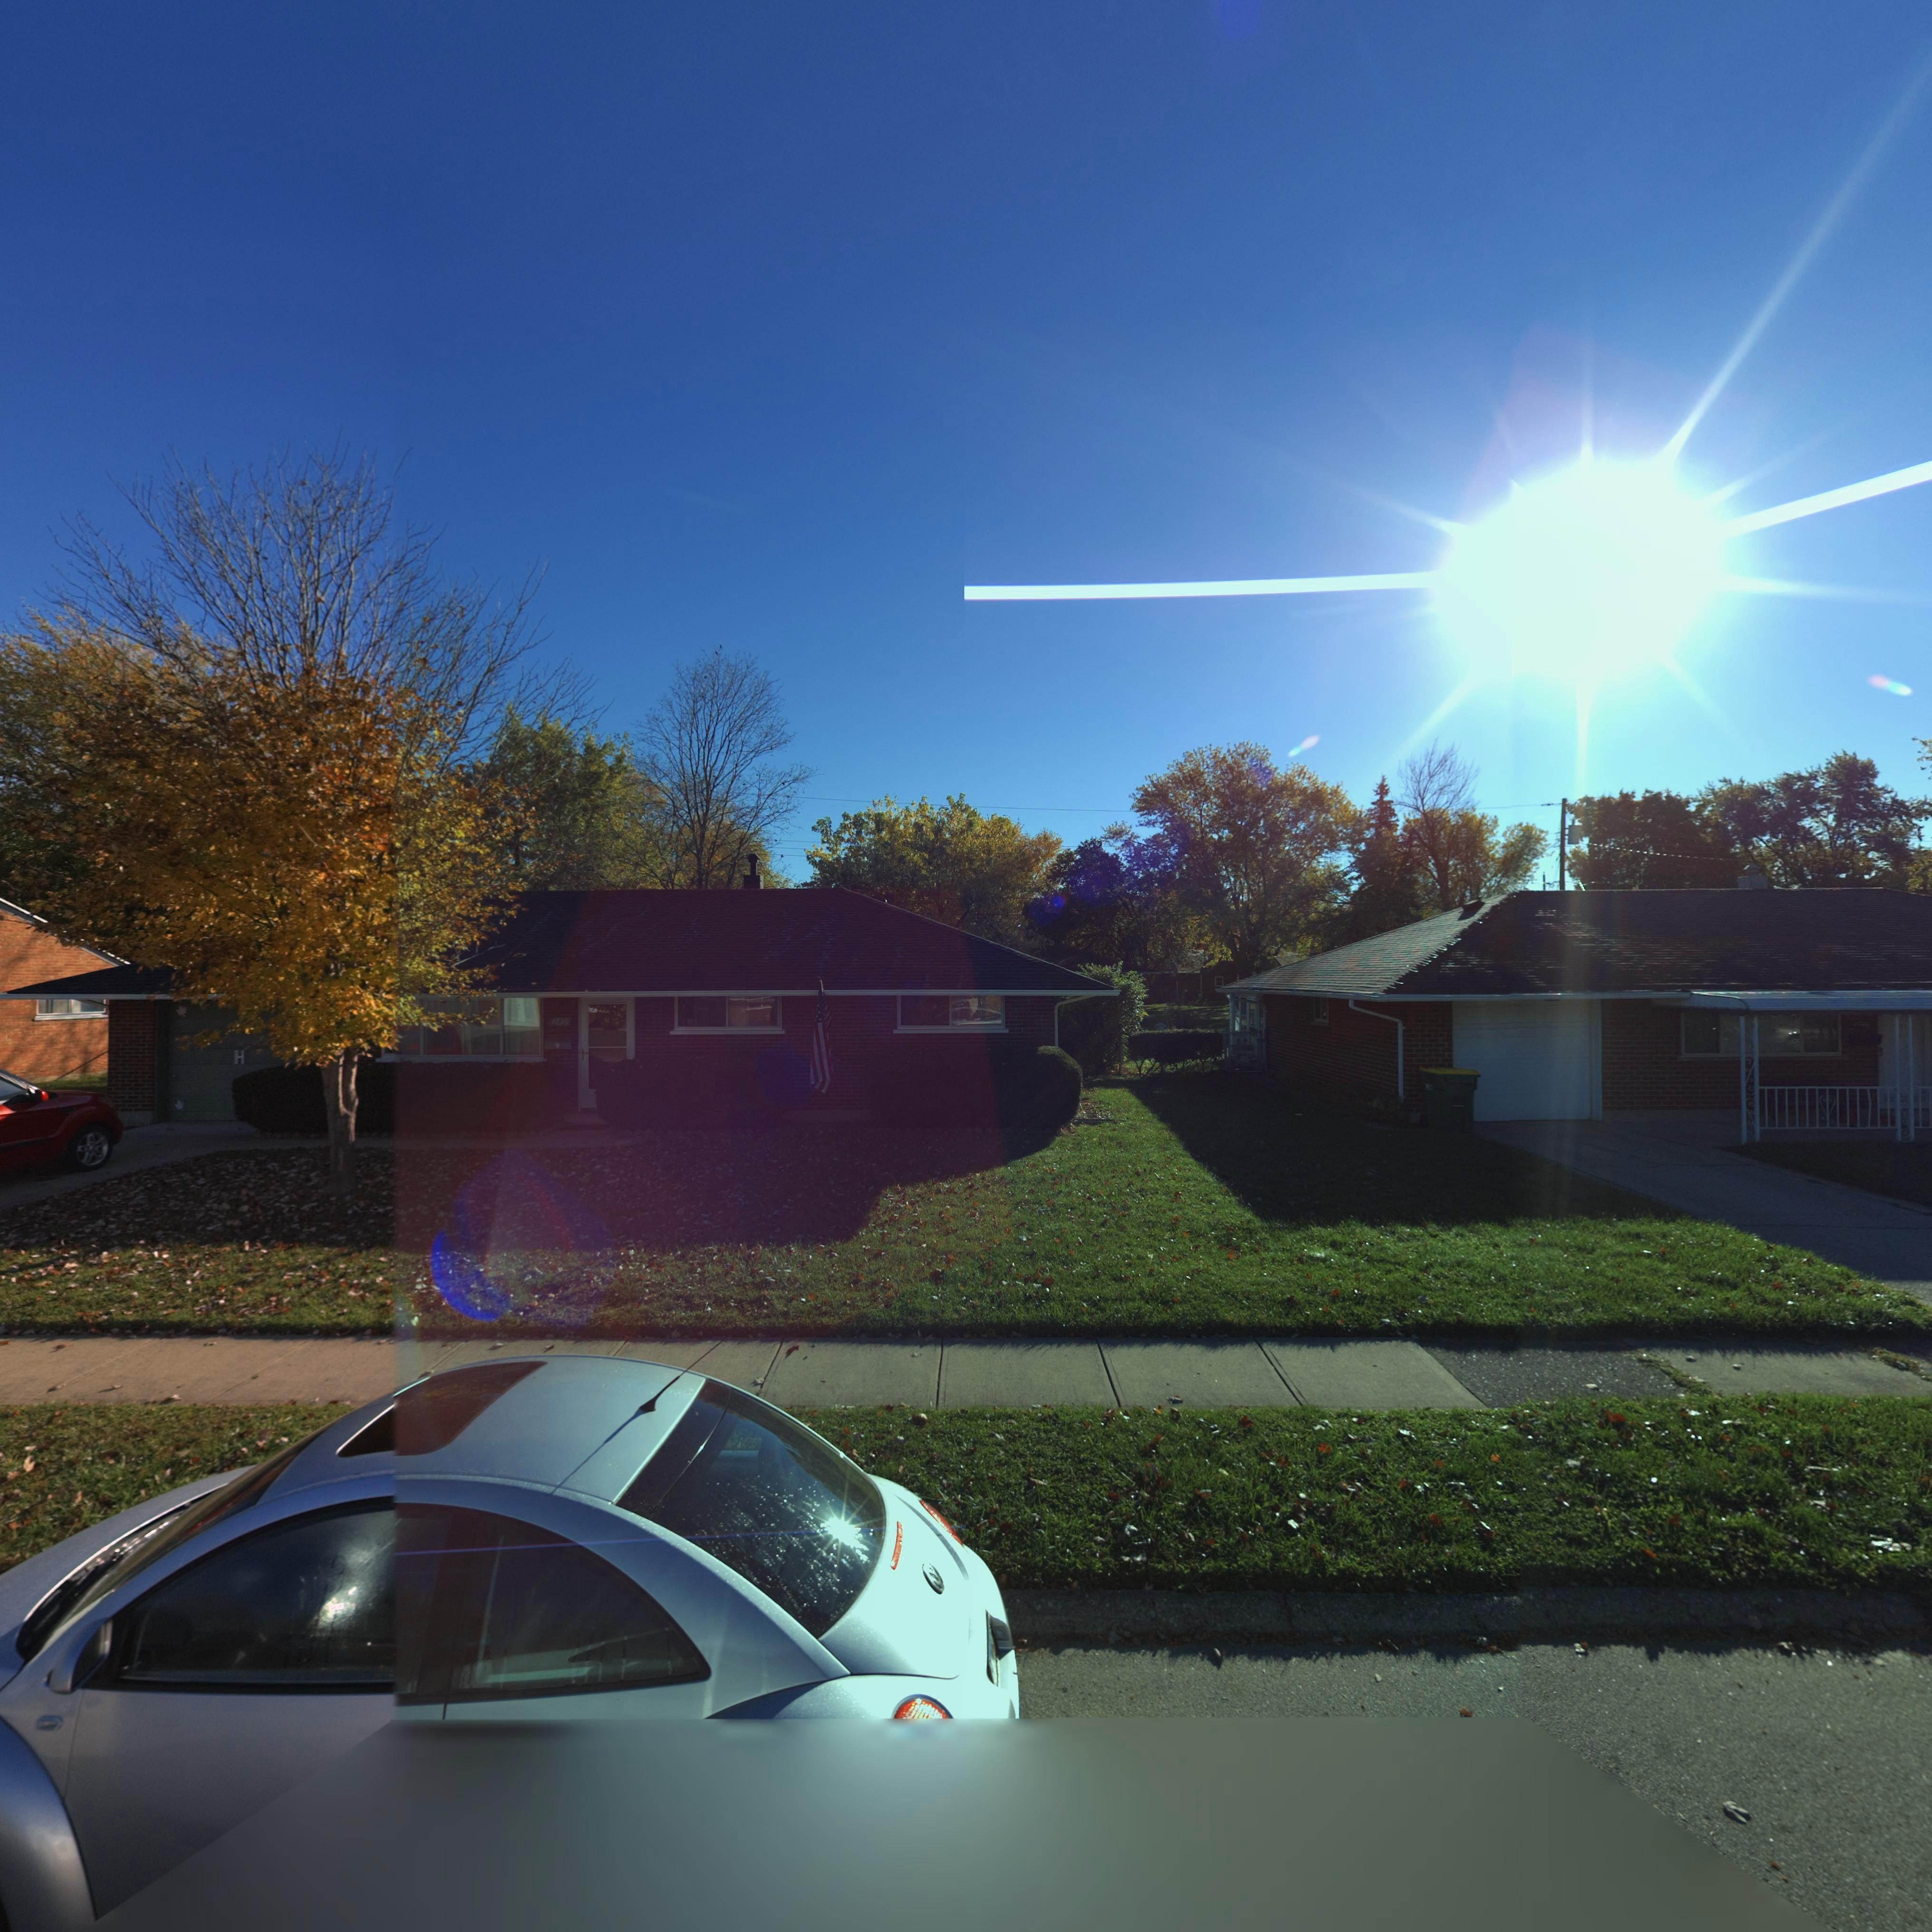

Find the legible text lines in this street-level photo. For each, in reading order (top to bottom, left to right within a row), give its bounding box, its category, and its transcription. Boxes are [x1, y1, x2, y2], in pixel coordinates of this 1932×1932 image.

[549, 1017, 569, 1025] StreetNumber: 4735